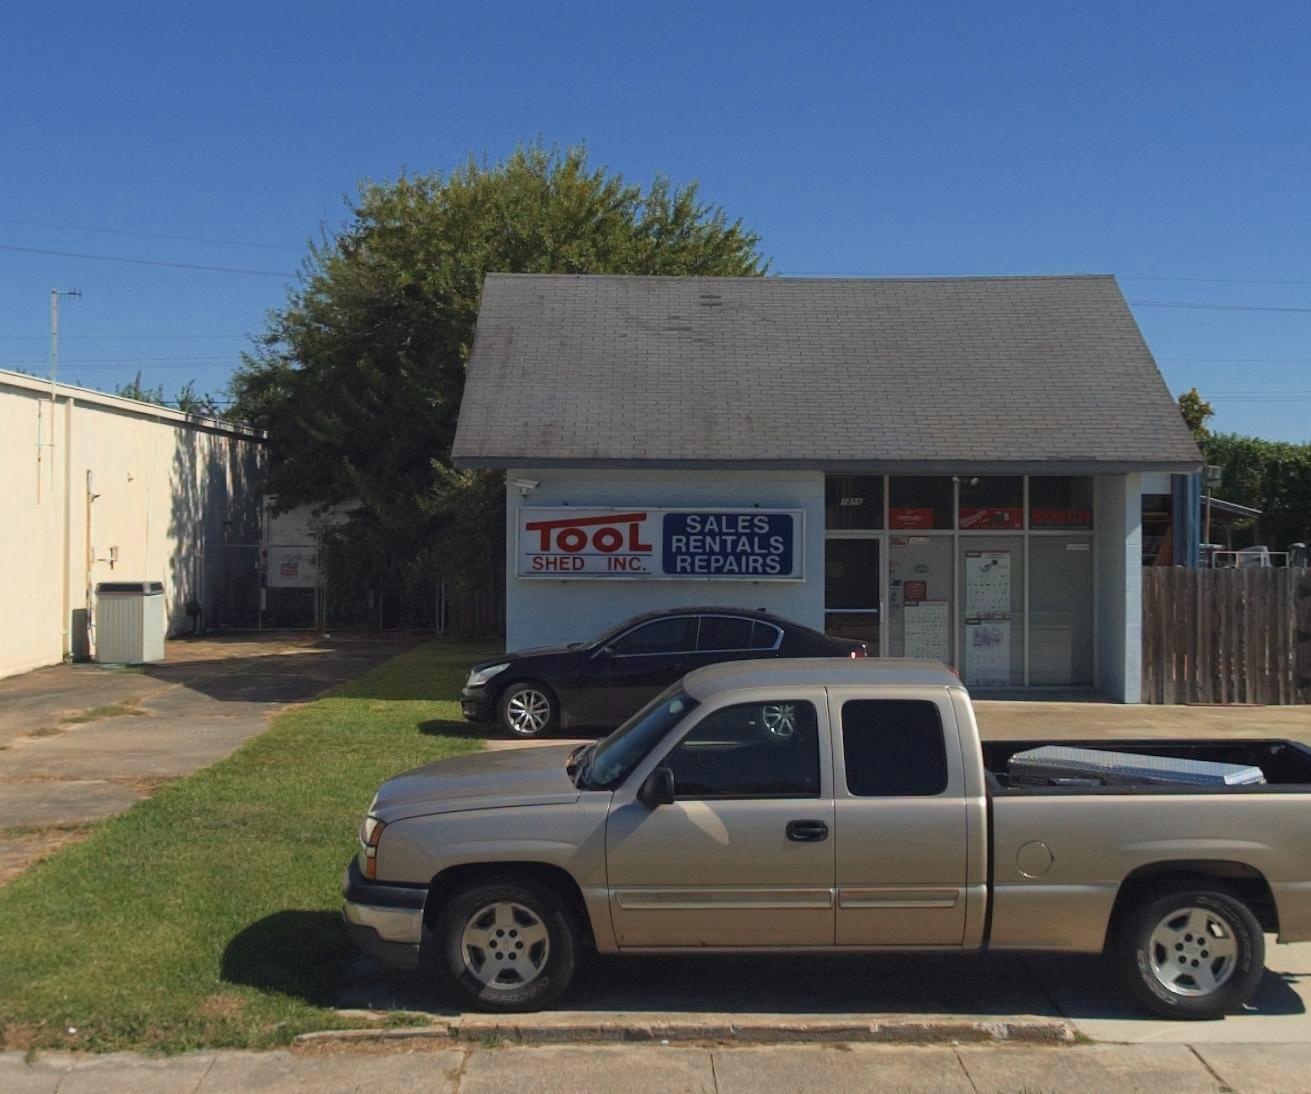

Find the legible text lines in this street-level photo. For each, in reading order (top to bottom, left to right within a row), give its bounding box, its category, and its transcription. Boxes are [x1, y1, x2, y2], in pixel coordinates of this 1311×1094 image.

[523, 510, 655, 554] BusinessName: TOOL
[684, 512, 771, 535] None: SALES
[670, 532, 786, 556] None: RENTALS
[530, 555, 649, 574] BusinessName: SHED INC.
[674, 553, 784, 576] None: REPAIRS